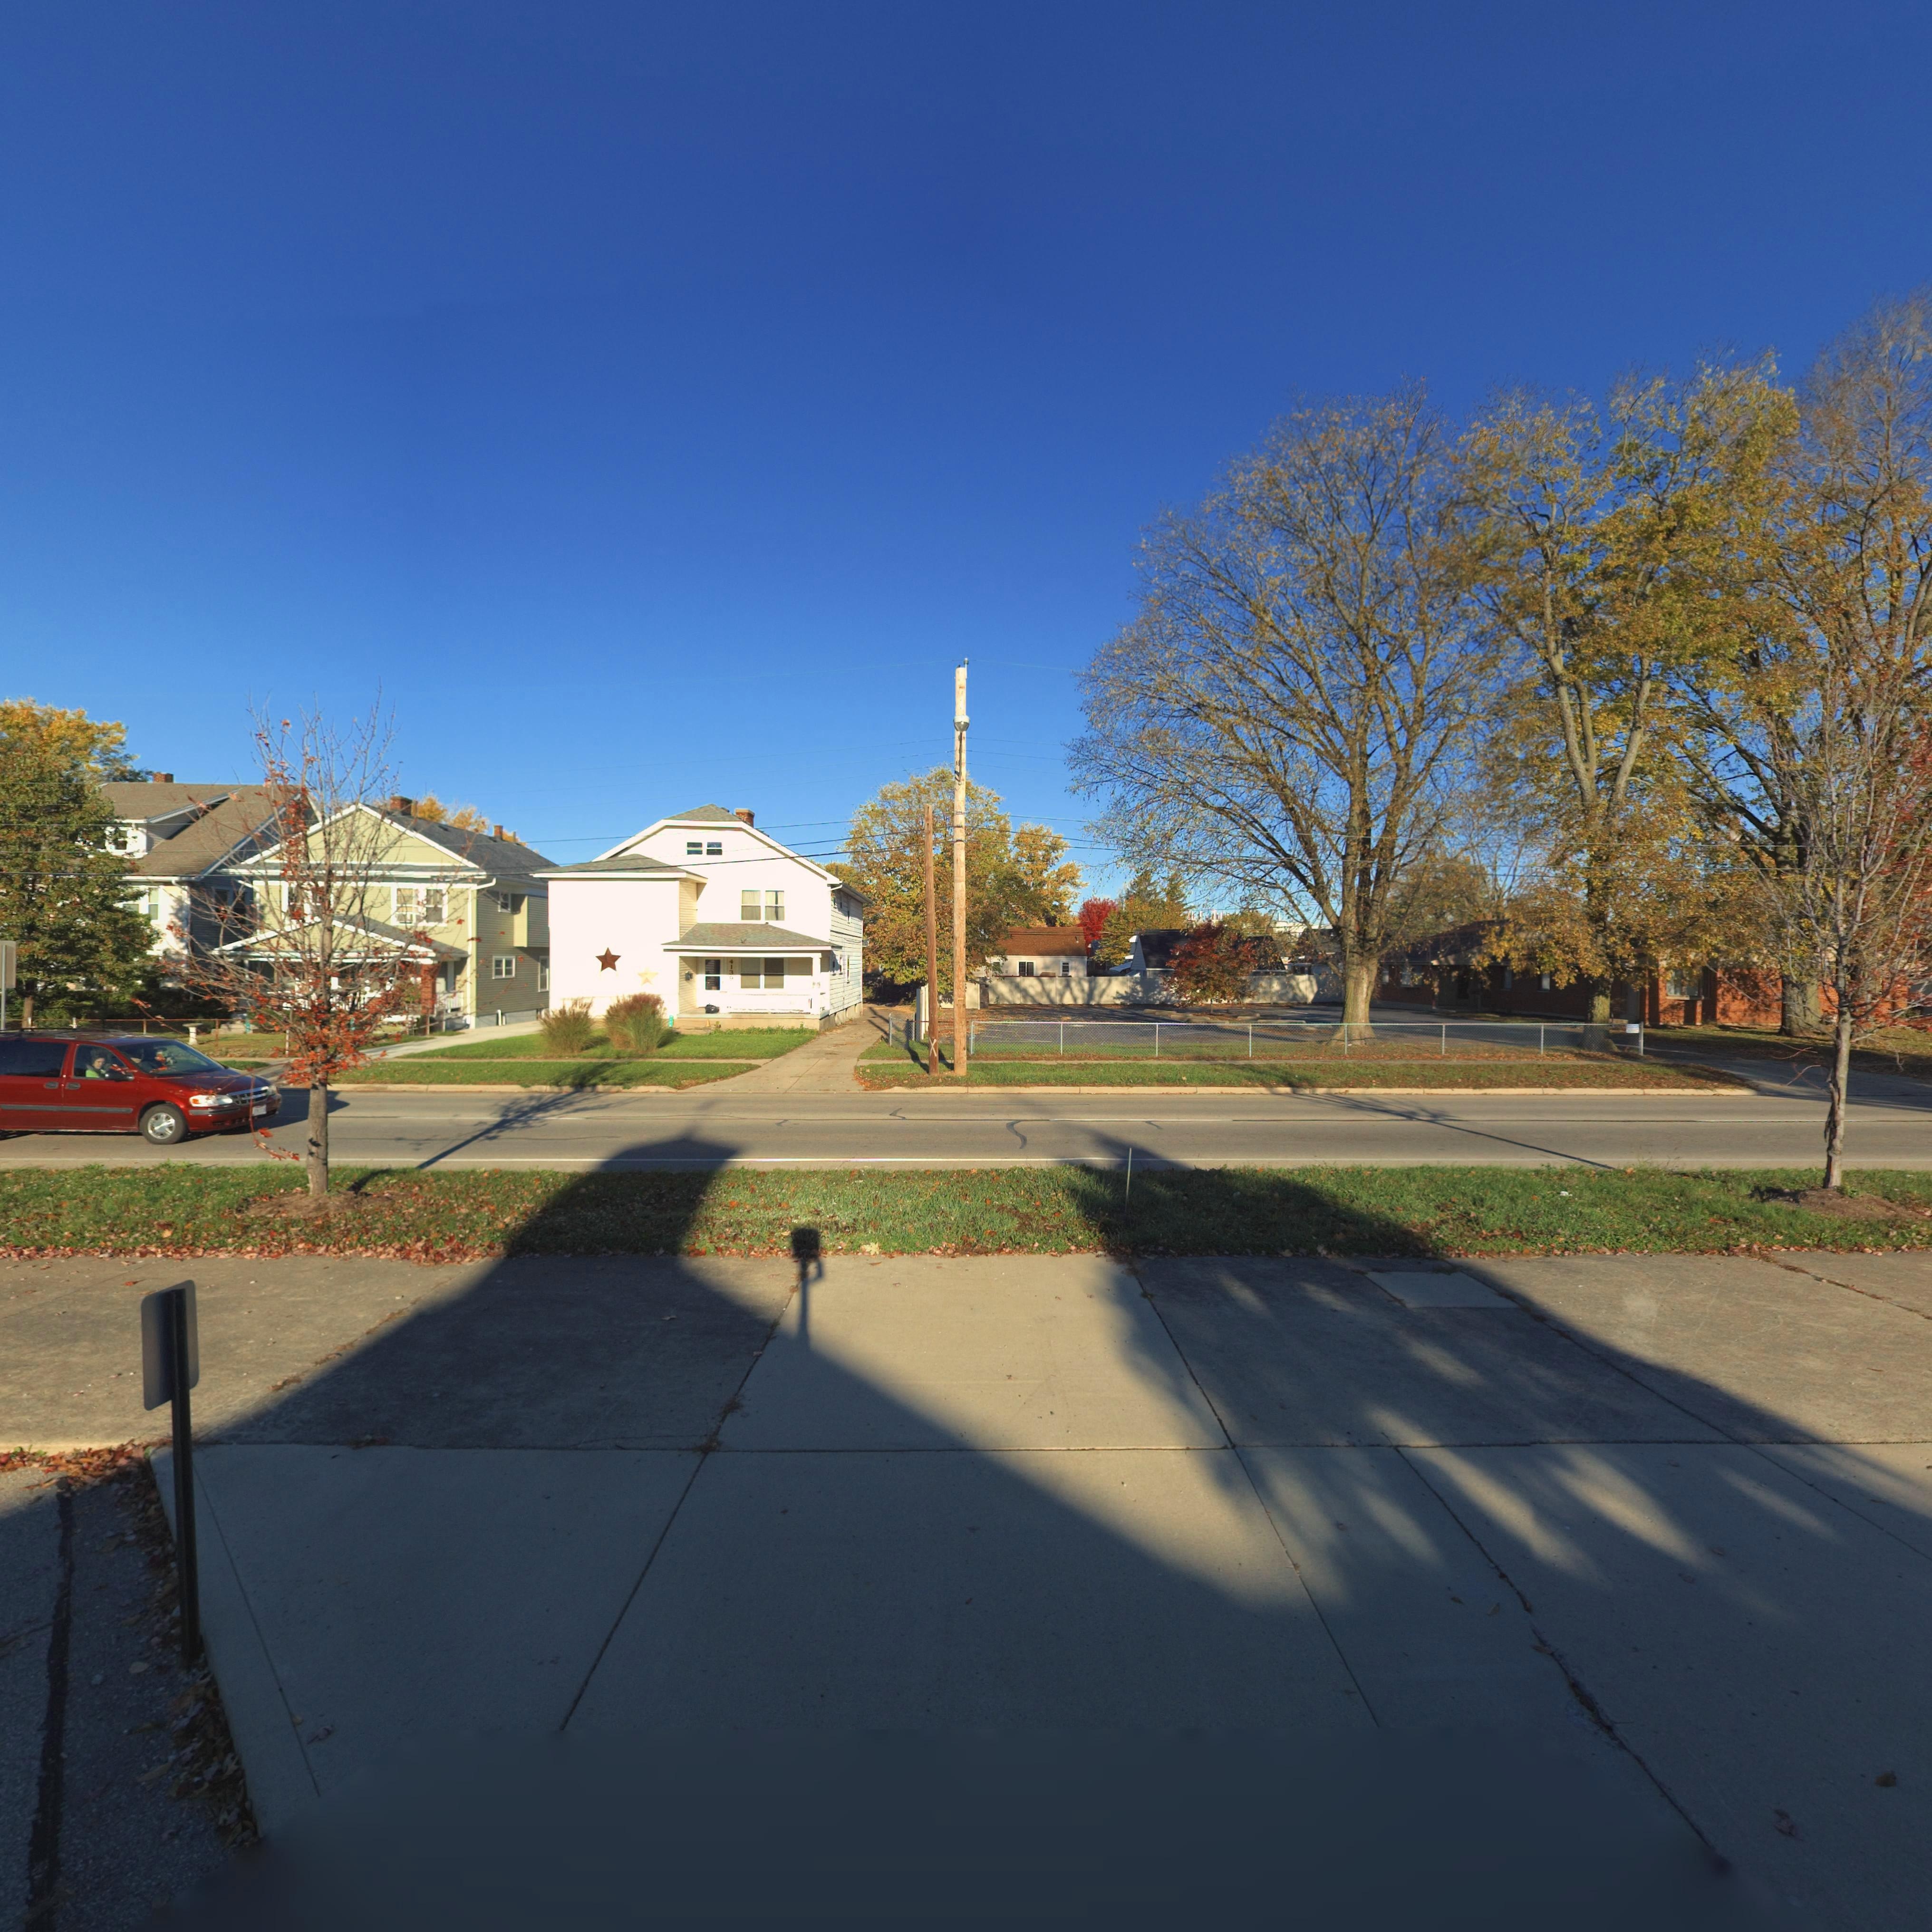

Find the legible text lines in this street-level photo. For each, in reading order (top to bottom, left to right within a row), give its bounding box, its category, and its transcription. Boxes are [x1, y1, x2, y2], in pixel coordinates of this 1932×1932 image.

[728, 958, 734, 981] StreetNumber: 413*